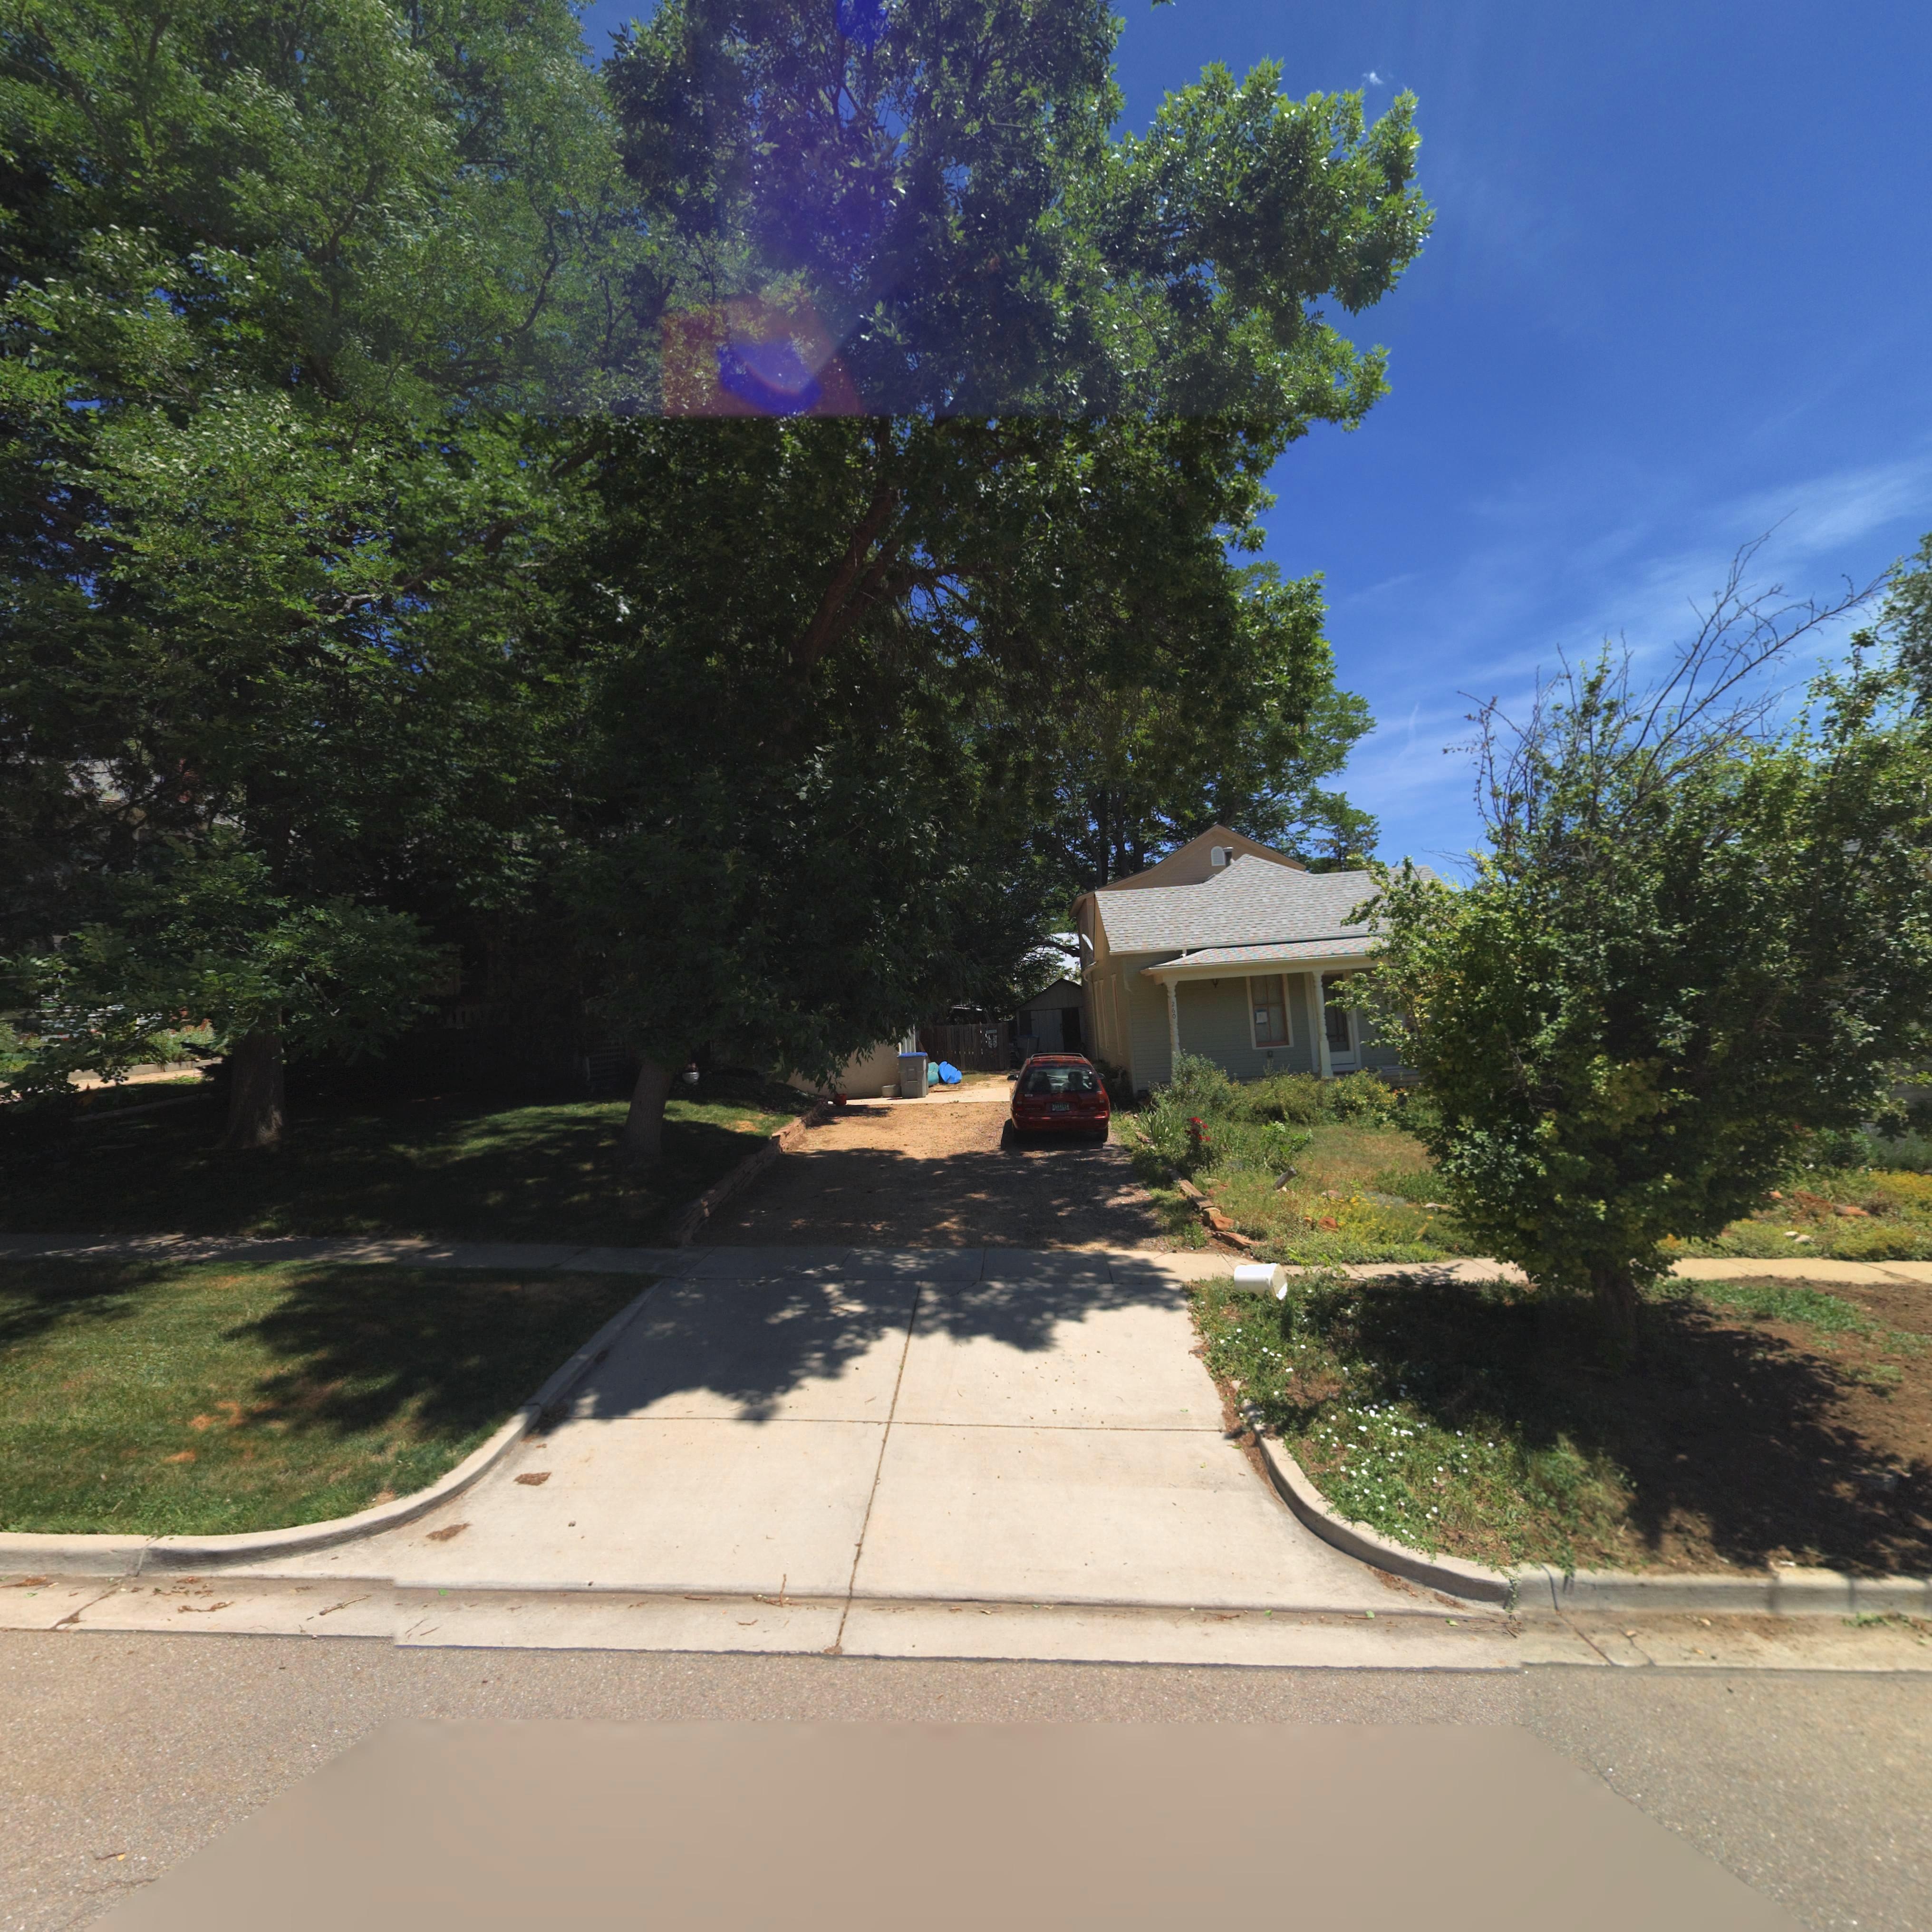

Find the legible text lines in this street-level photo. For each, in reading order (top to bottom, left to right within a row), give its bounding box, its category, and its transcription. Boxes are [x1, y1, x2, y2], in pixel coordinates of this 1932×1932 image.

[1171, 1002, 1176, 1019] StreetNumber: 260